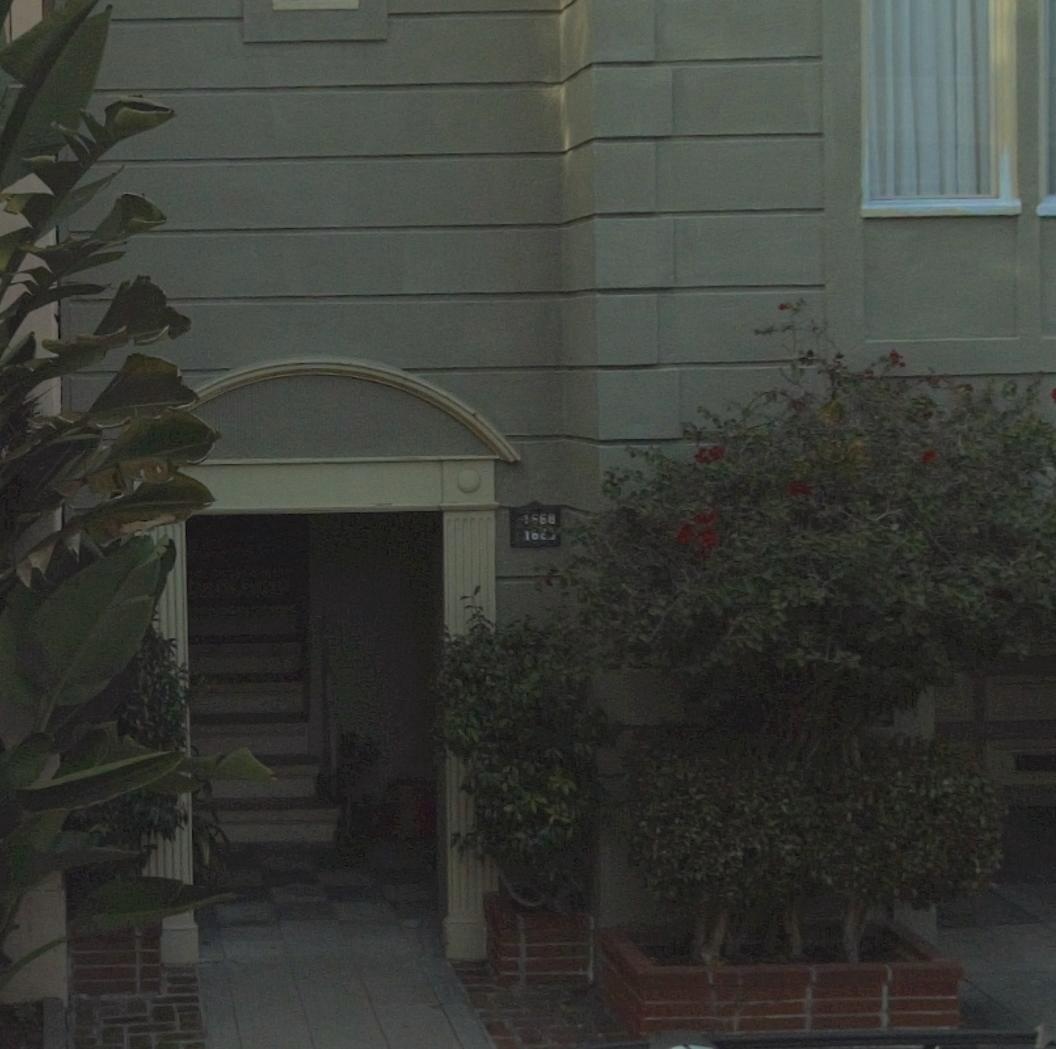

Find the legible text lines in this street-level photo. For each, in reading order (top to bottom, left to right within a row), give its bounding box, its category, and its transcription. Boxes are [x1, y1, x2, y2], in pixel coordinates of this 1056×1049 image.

[519, 509, 558, 527] StreetNumber: **68
[522, 526, 542, 543] StreetNumber: 1*